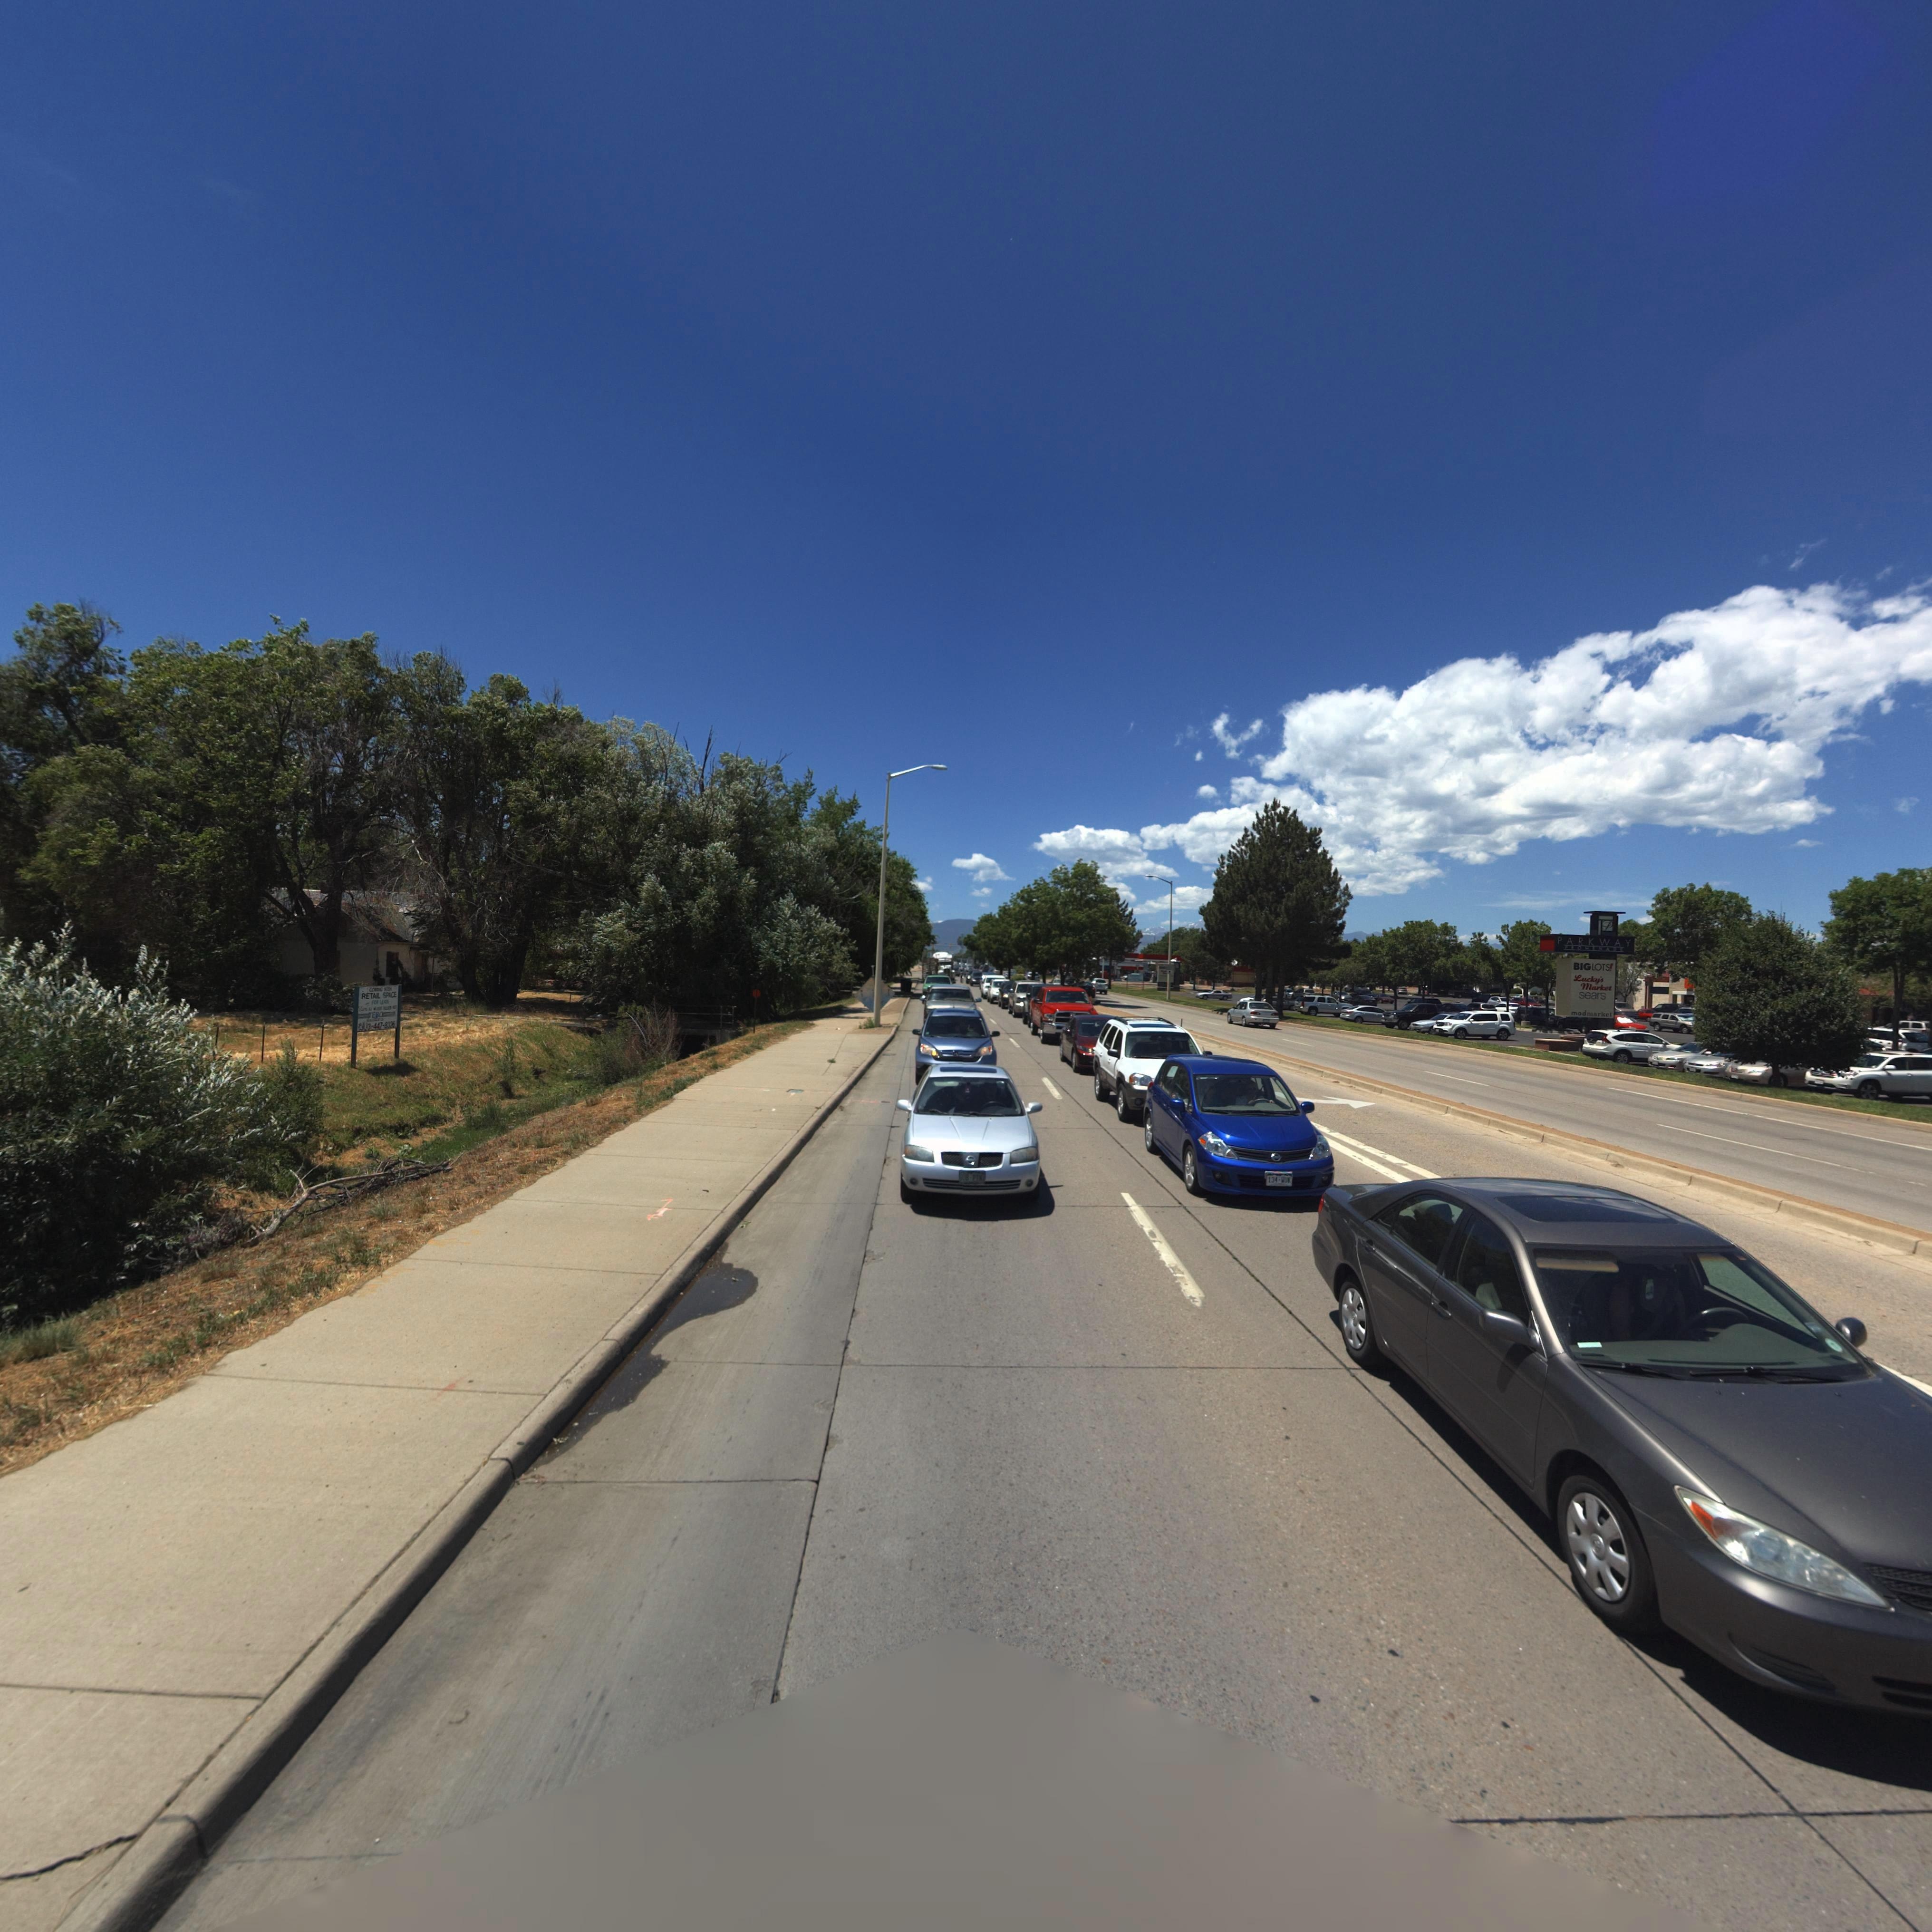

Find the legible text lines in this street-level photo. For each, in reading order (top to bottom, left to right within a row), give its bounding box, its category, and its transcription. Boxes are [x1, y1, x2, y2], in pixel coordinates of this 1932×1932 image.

[1573, 962, 1610, 971] BusinessName: BIGLOTS*
[1572, 974, 1604, 985] BusinessName: Lucky's
[1580, 982, 1612, 991] BusinessName: Market
[1578, 991, 1606, 1000] BusinessName: sears